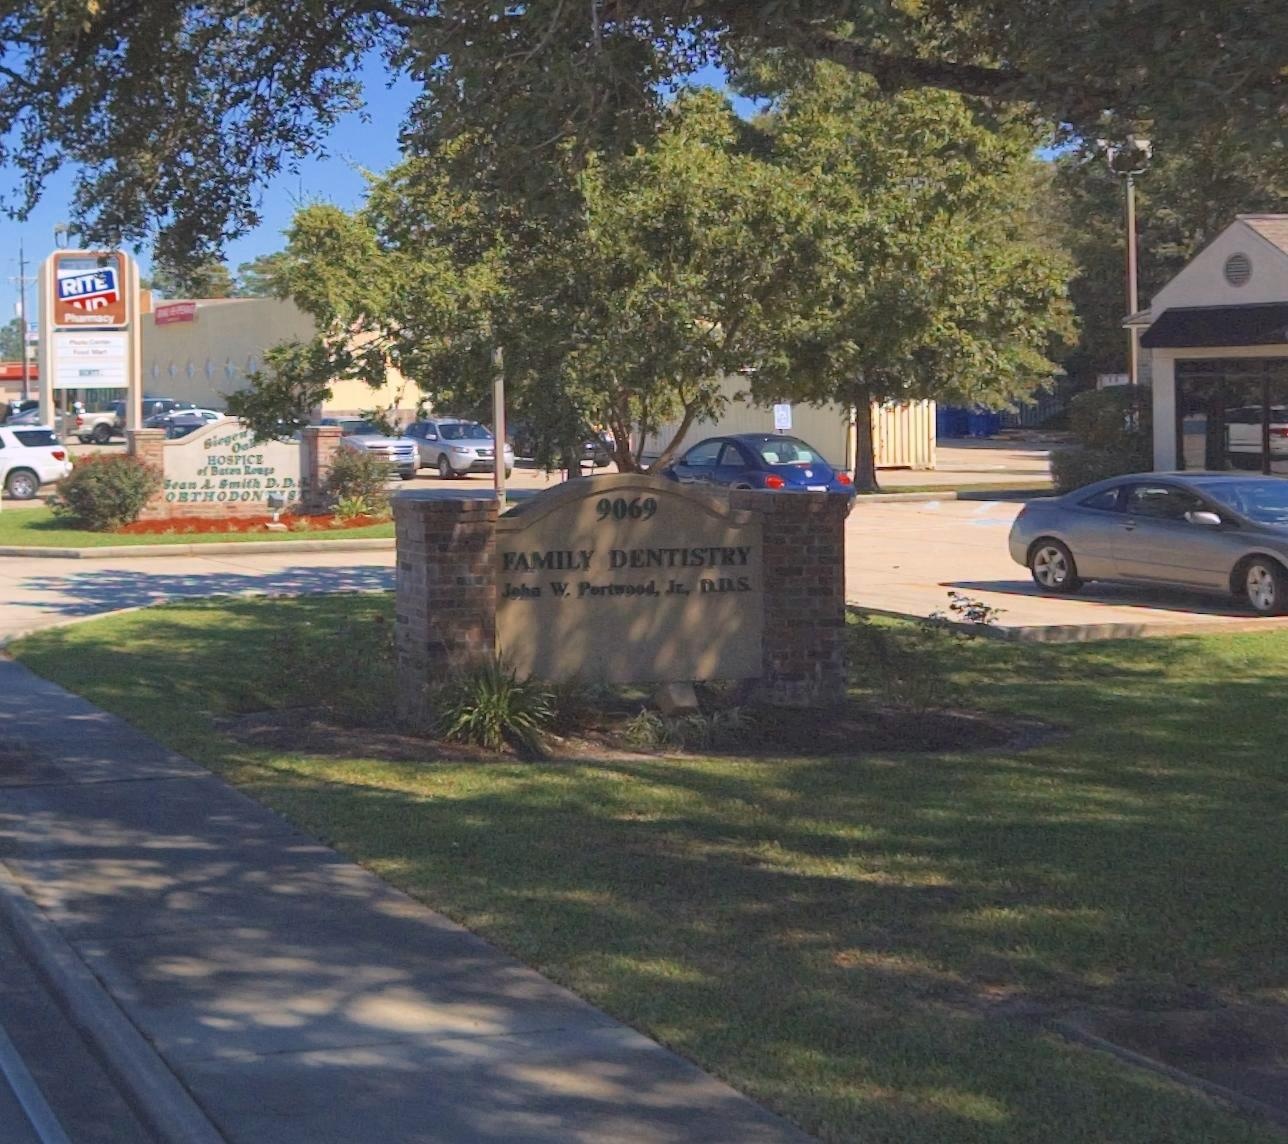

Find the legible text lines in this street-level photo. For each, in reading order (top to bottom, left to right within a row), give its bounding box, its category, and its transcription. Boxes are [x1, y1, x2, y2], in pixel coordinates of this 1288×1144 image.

[61, 270, 109, 298] BusinessName: RITE
[63, 312, 117, 325] None: Pharmacy
[203, 427, 251, 452] BusinessName: Si*ge*
[230, 434, 258, 456] BusinessName: Oal
[196, 464, 275, 477] BusinessName: of Baton Rouge
[207, 453, 265, 466] BusinessName: HOPSPICE
[163, 490, 315, 504] None: ORTHODON**ST
[595, 496, 658, 522] StreetNumber: 9069
[500, 543, 753, 572] BusinessName: FAMILY DENTISTRY
[500, 575, 754, 600] None: John W. Portwood, Jr., D.D.S.